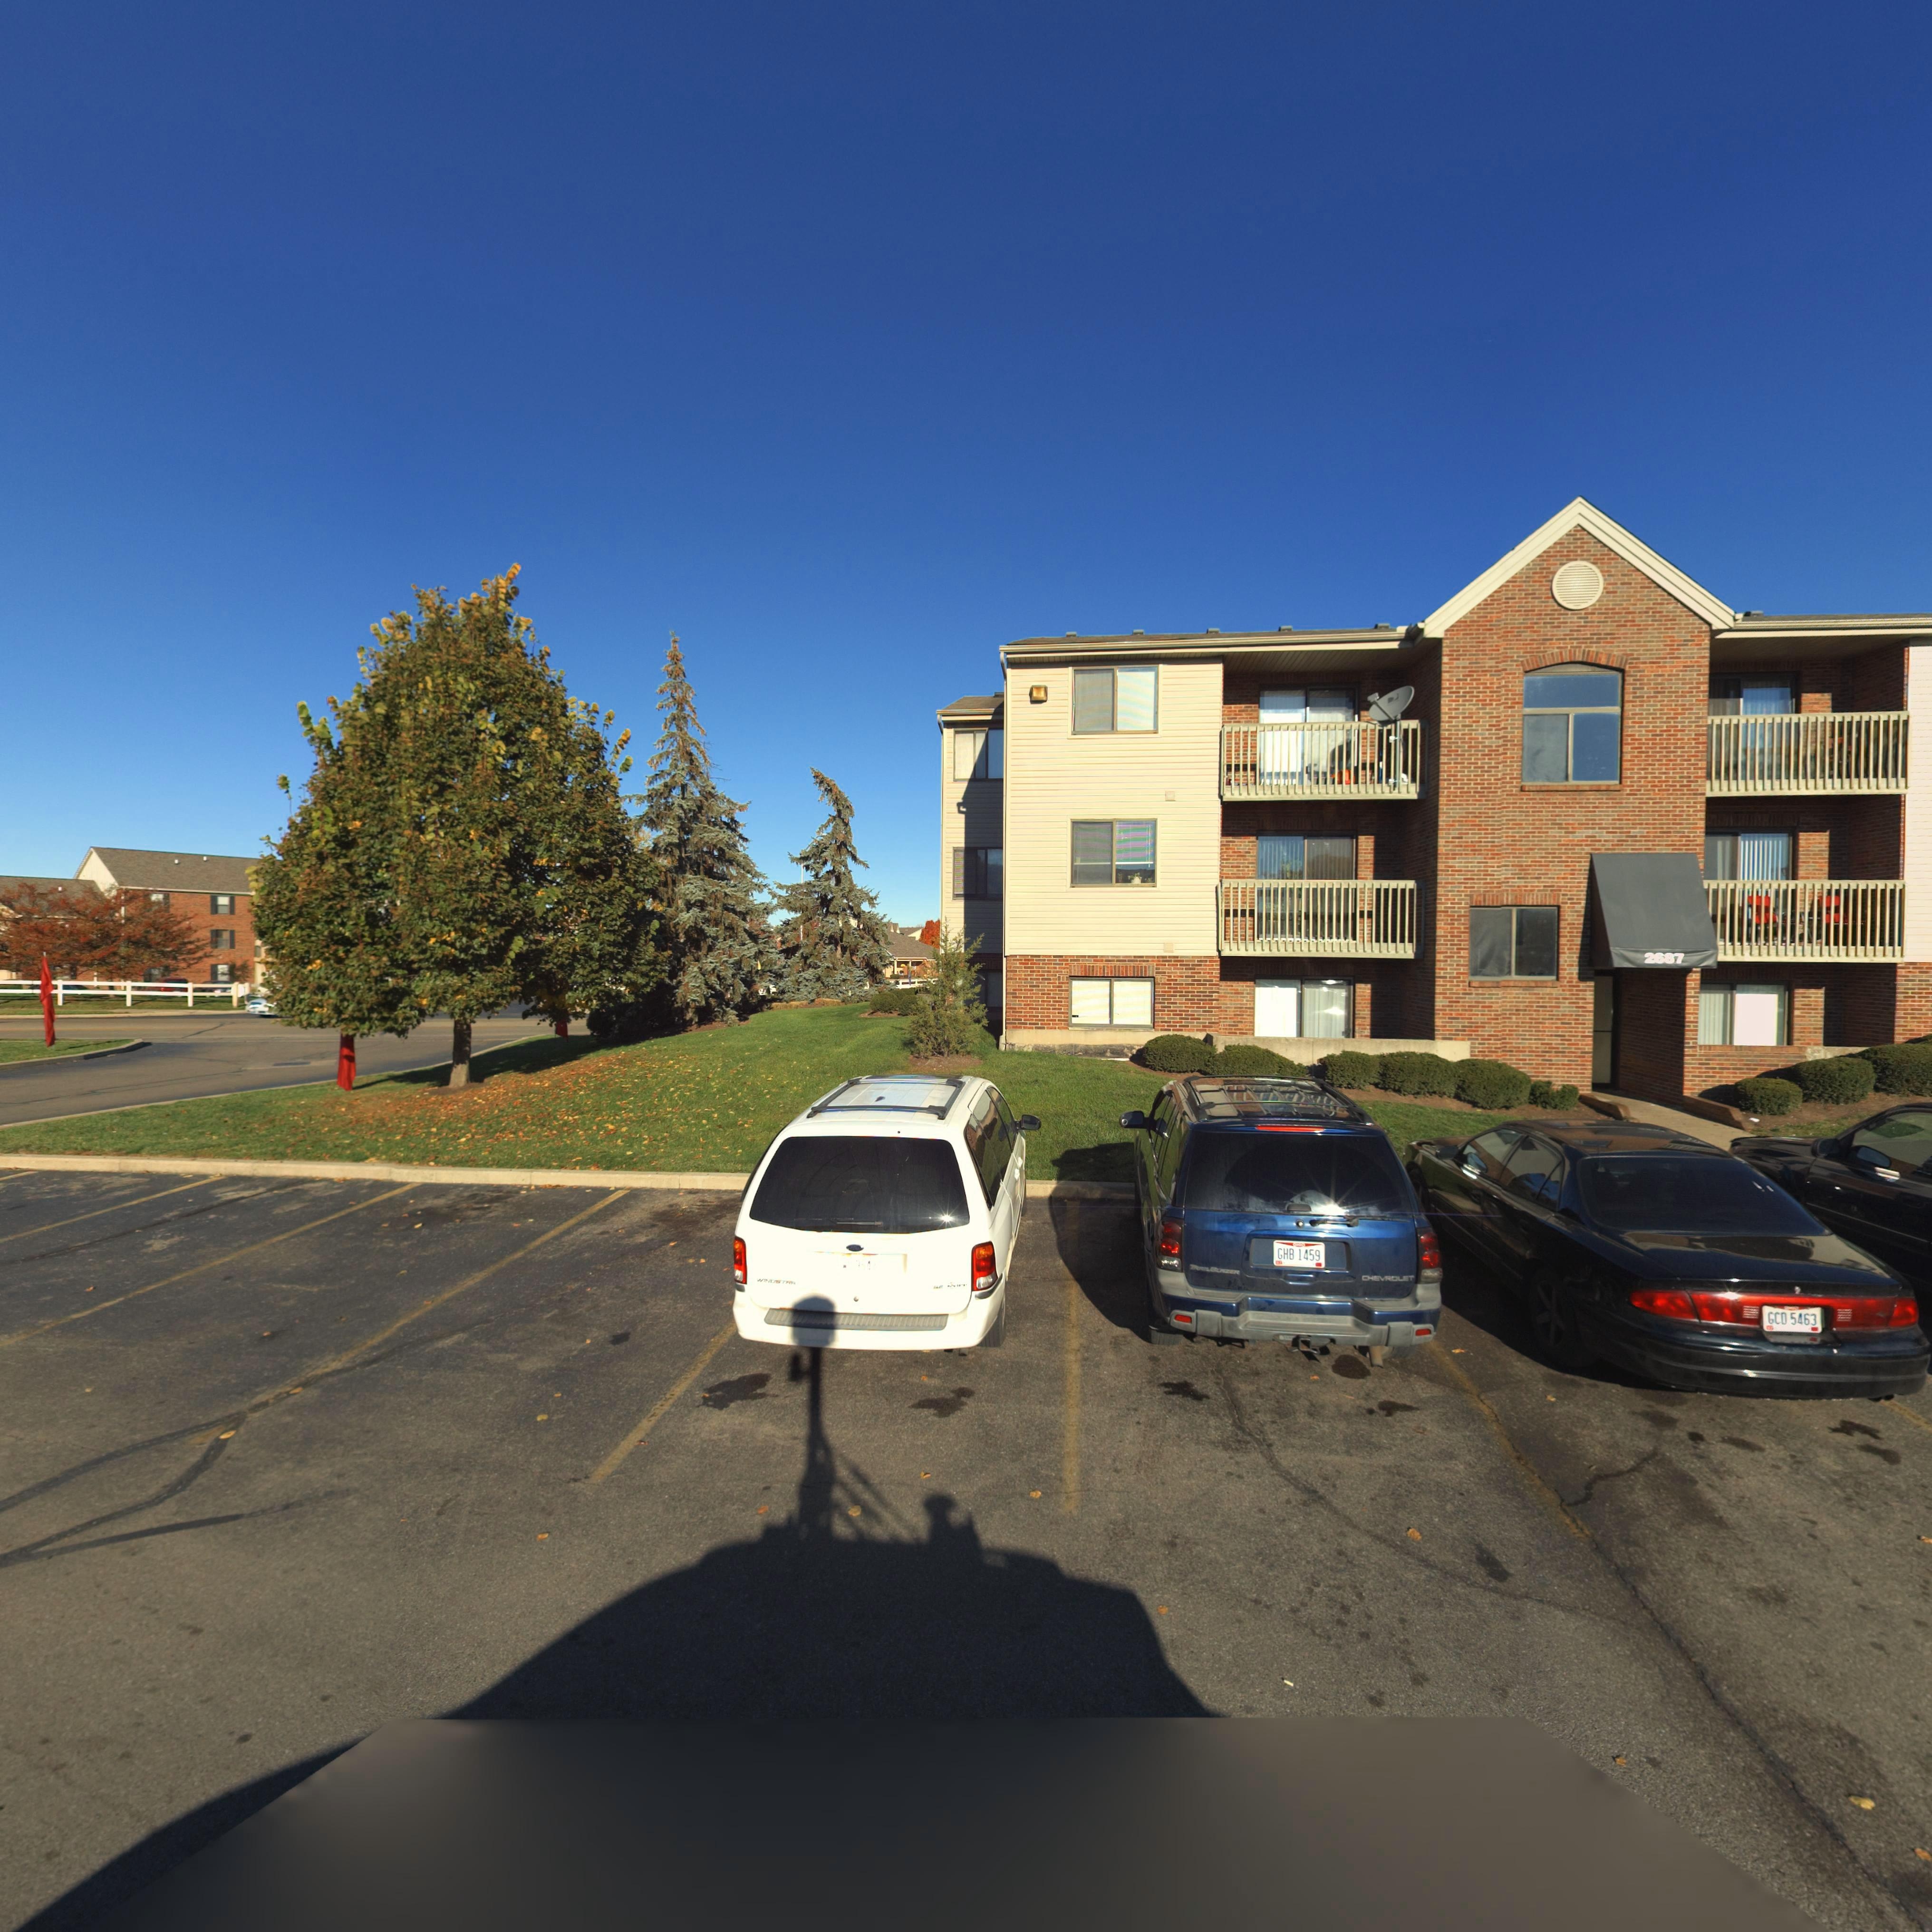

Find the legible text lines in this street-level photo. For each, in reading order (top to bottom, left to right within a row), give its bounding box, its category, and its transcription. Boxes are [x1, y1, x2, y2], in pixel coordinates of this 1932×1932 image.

[1643, 952, 1685, 964] StreetNumber: 2687